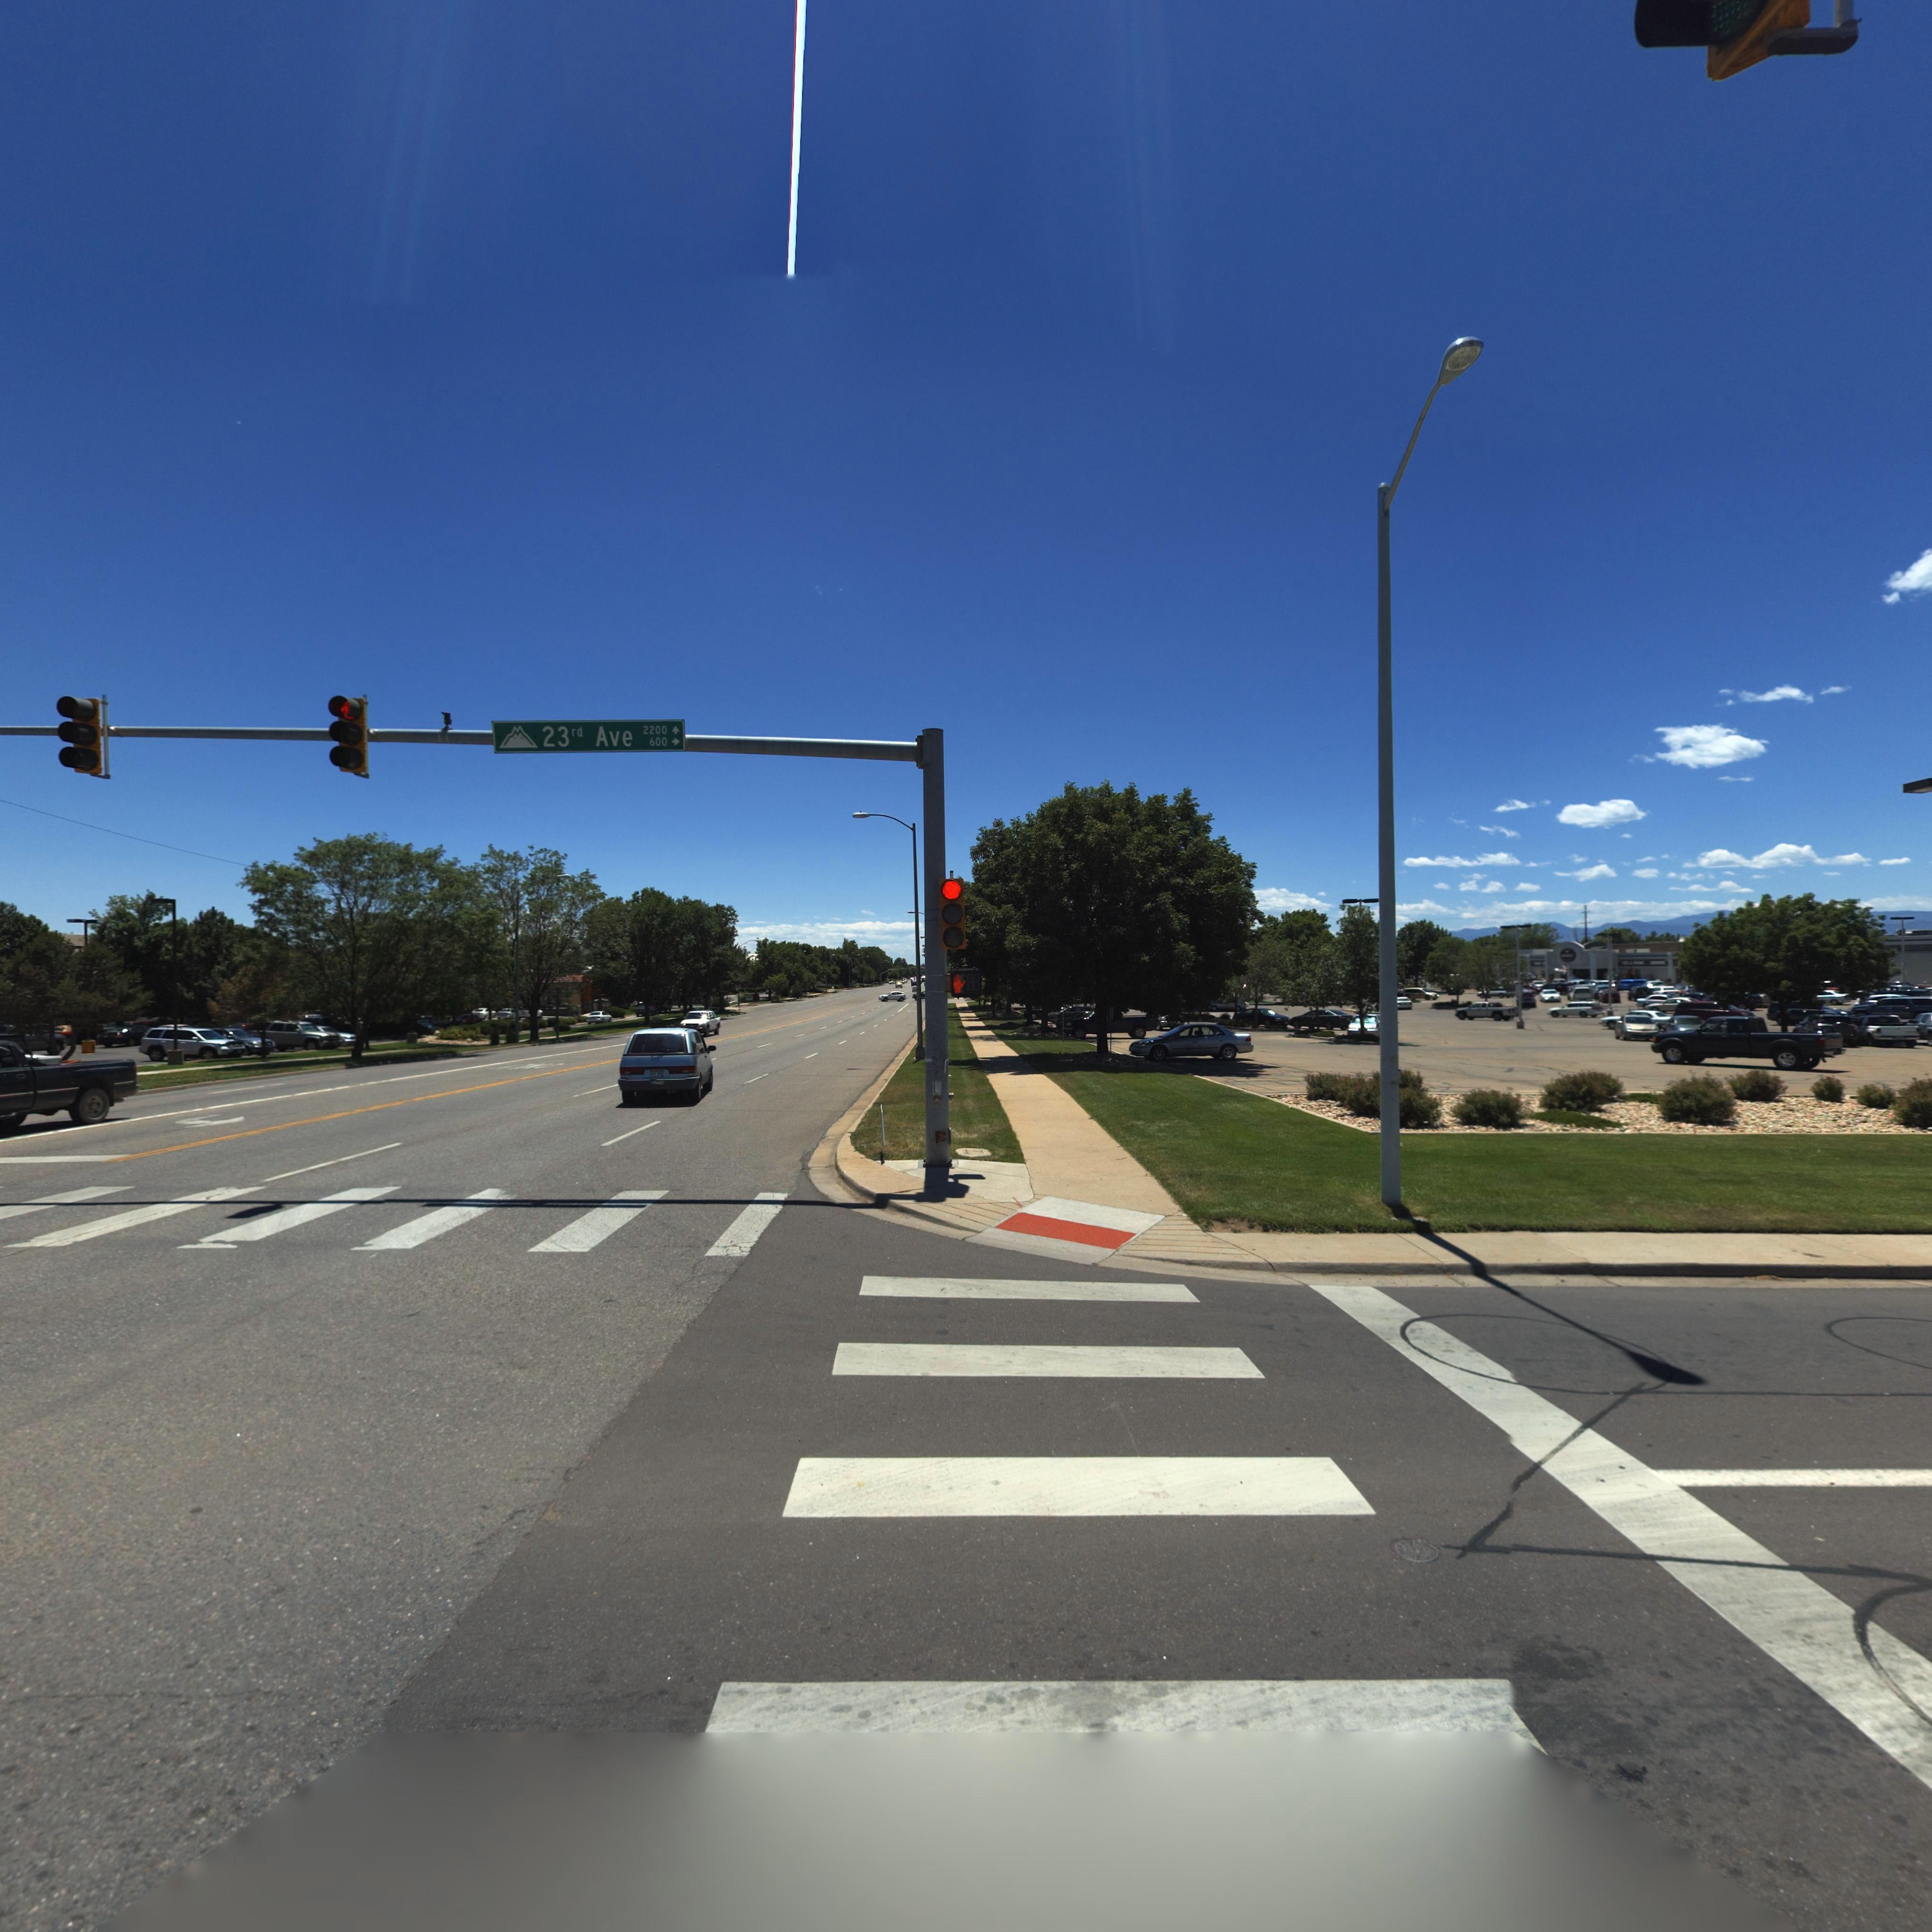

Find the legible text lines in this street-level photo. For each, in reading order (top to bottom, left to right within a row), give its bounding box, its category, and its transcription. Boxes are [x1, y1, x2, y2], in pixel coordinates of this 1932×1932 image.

[643, 724, 667, 734] StreetNumberRange: 2200
[541, 725, 633, 747] StreetName: 23rd Ave
[648, 736, 681, 746] StreetNumberRange: 600->